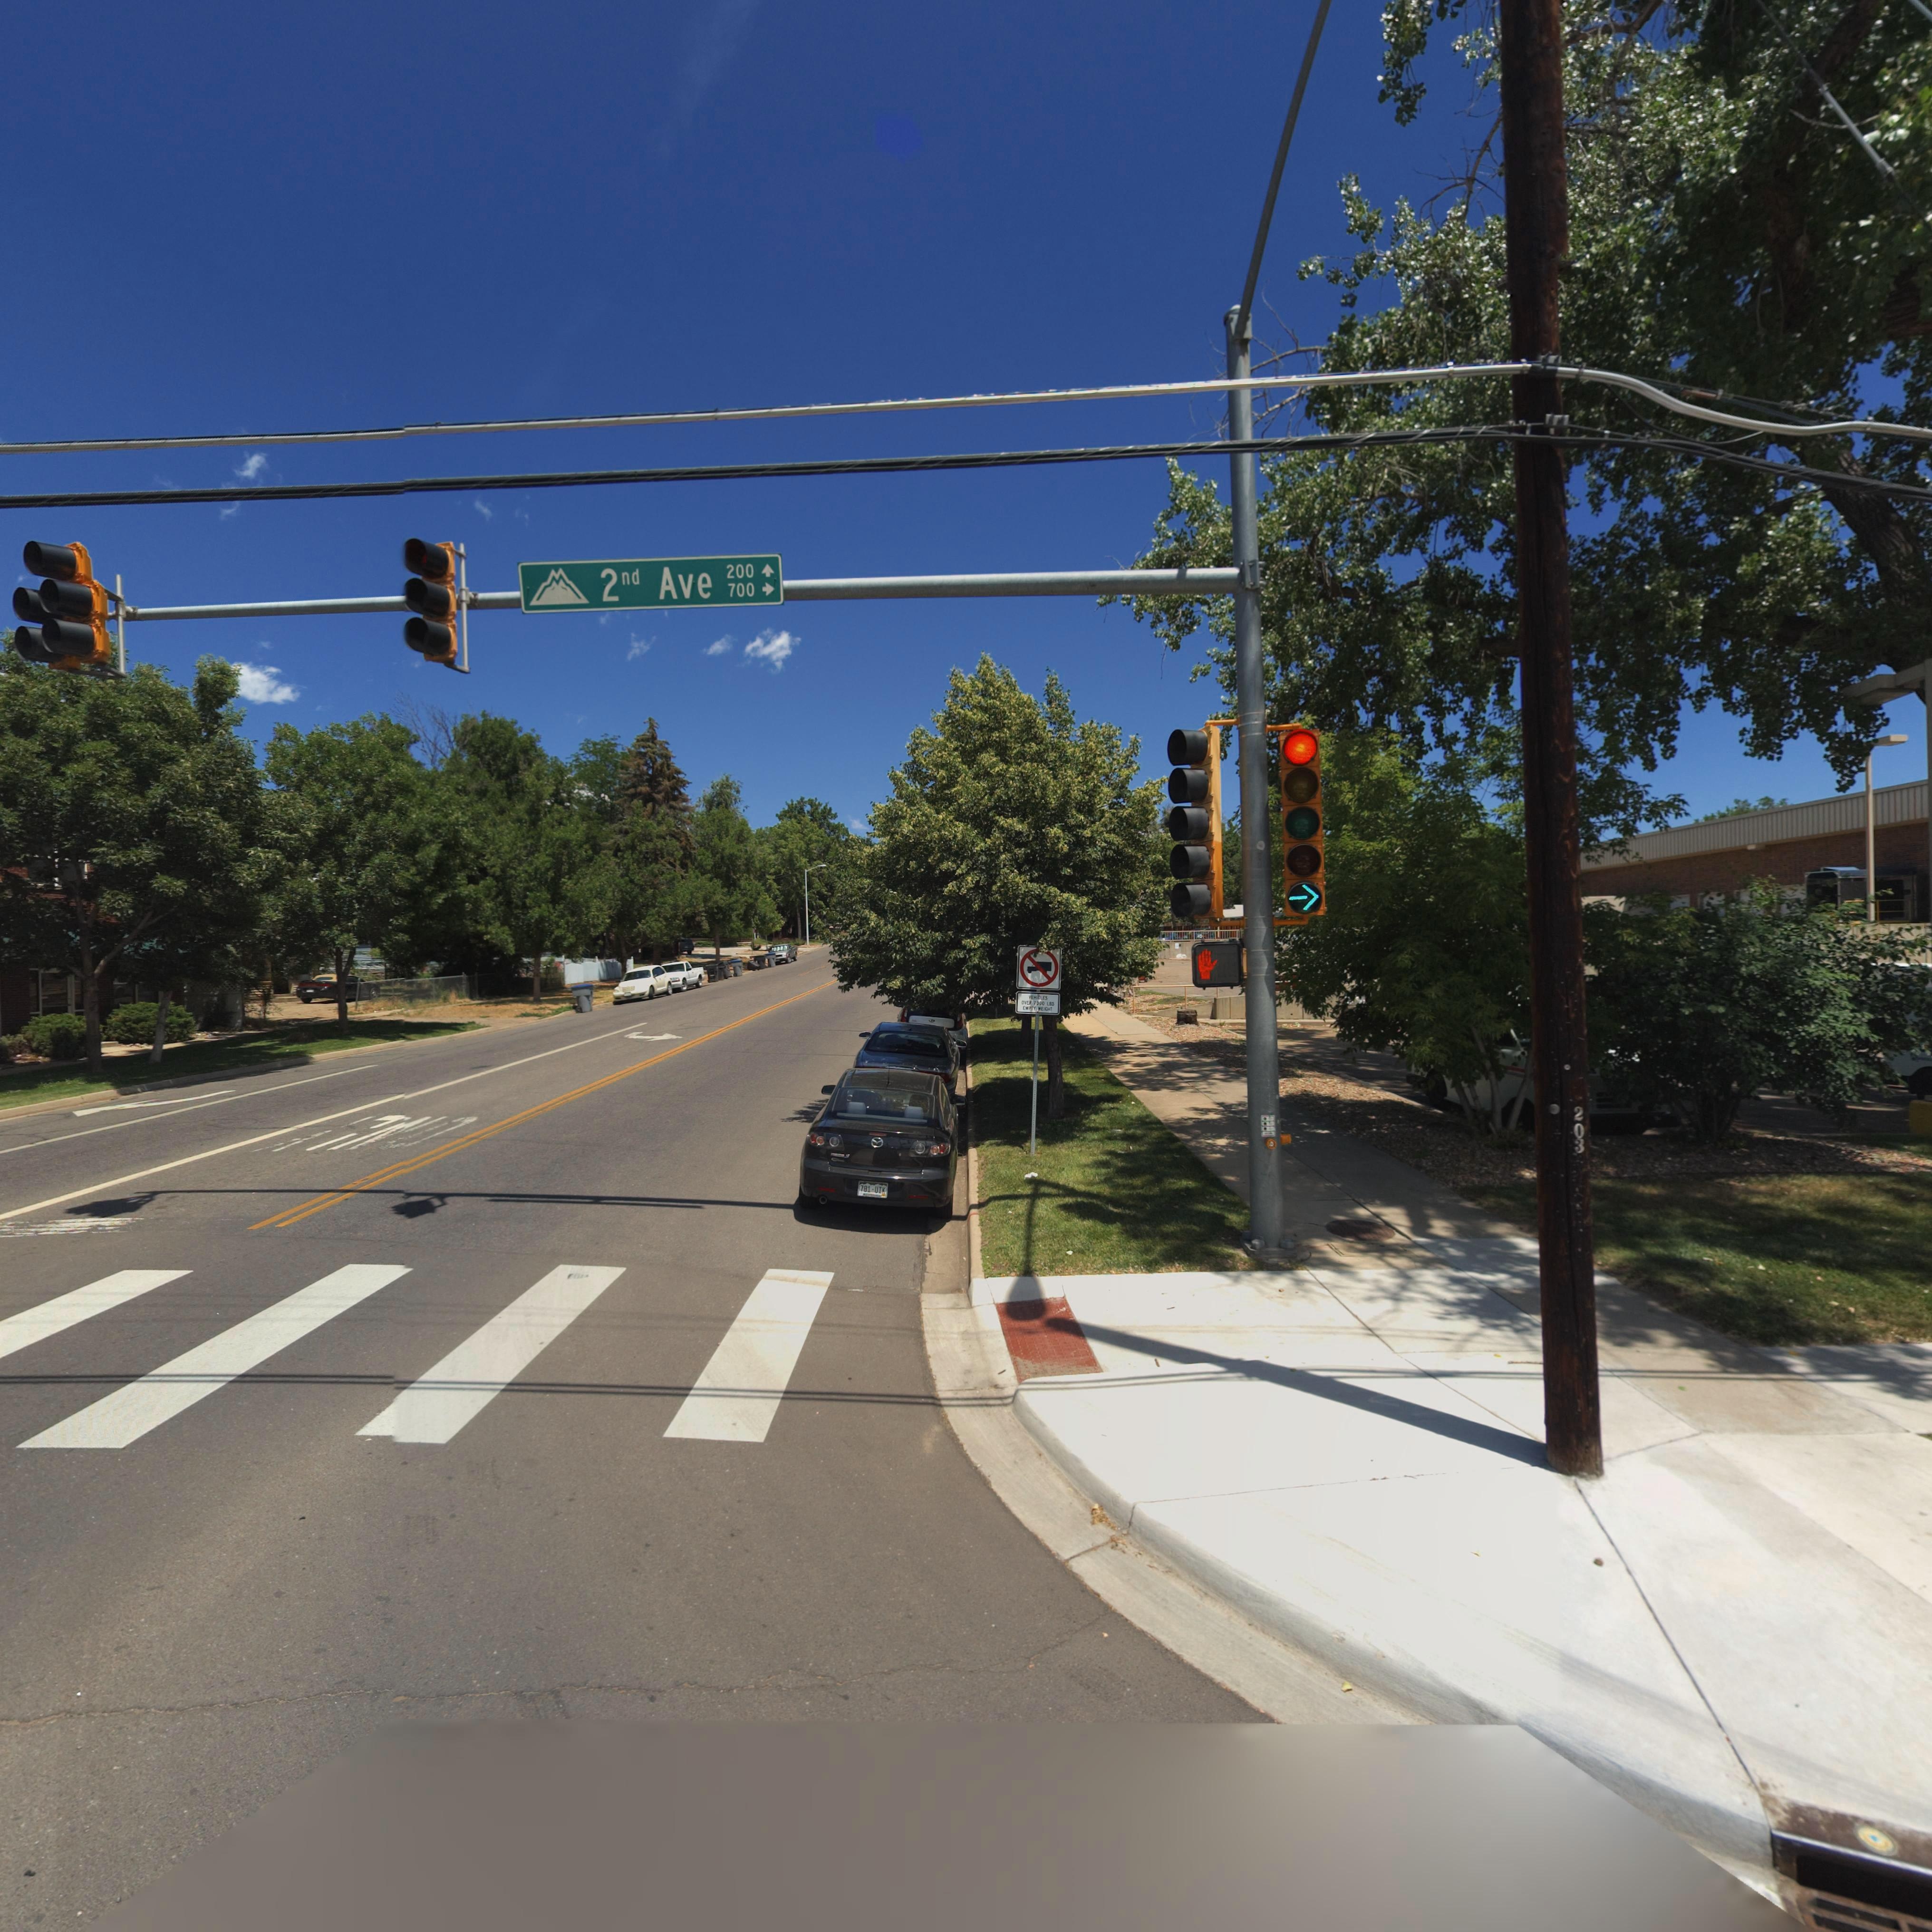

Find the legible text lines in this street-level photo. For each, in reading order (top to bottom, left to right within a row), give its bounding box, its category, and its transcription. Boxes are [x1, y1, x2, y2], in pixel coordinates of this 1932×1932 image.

[725, 563, 754, 580] StreetNumberRange: 200
[599, 565, 713, 603] StreetName: 2nd Ave
[727, 581, 776, 598] StreetNumberRange: 700->